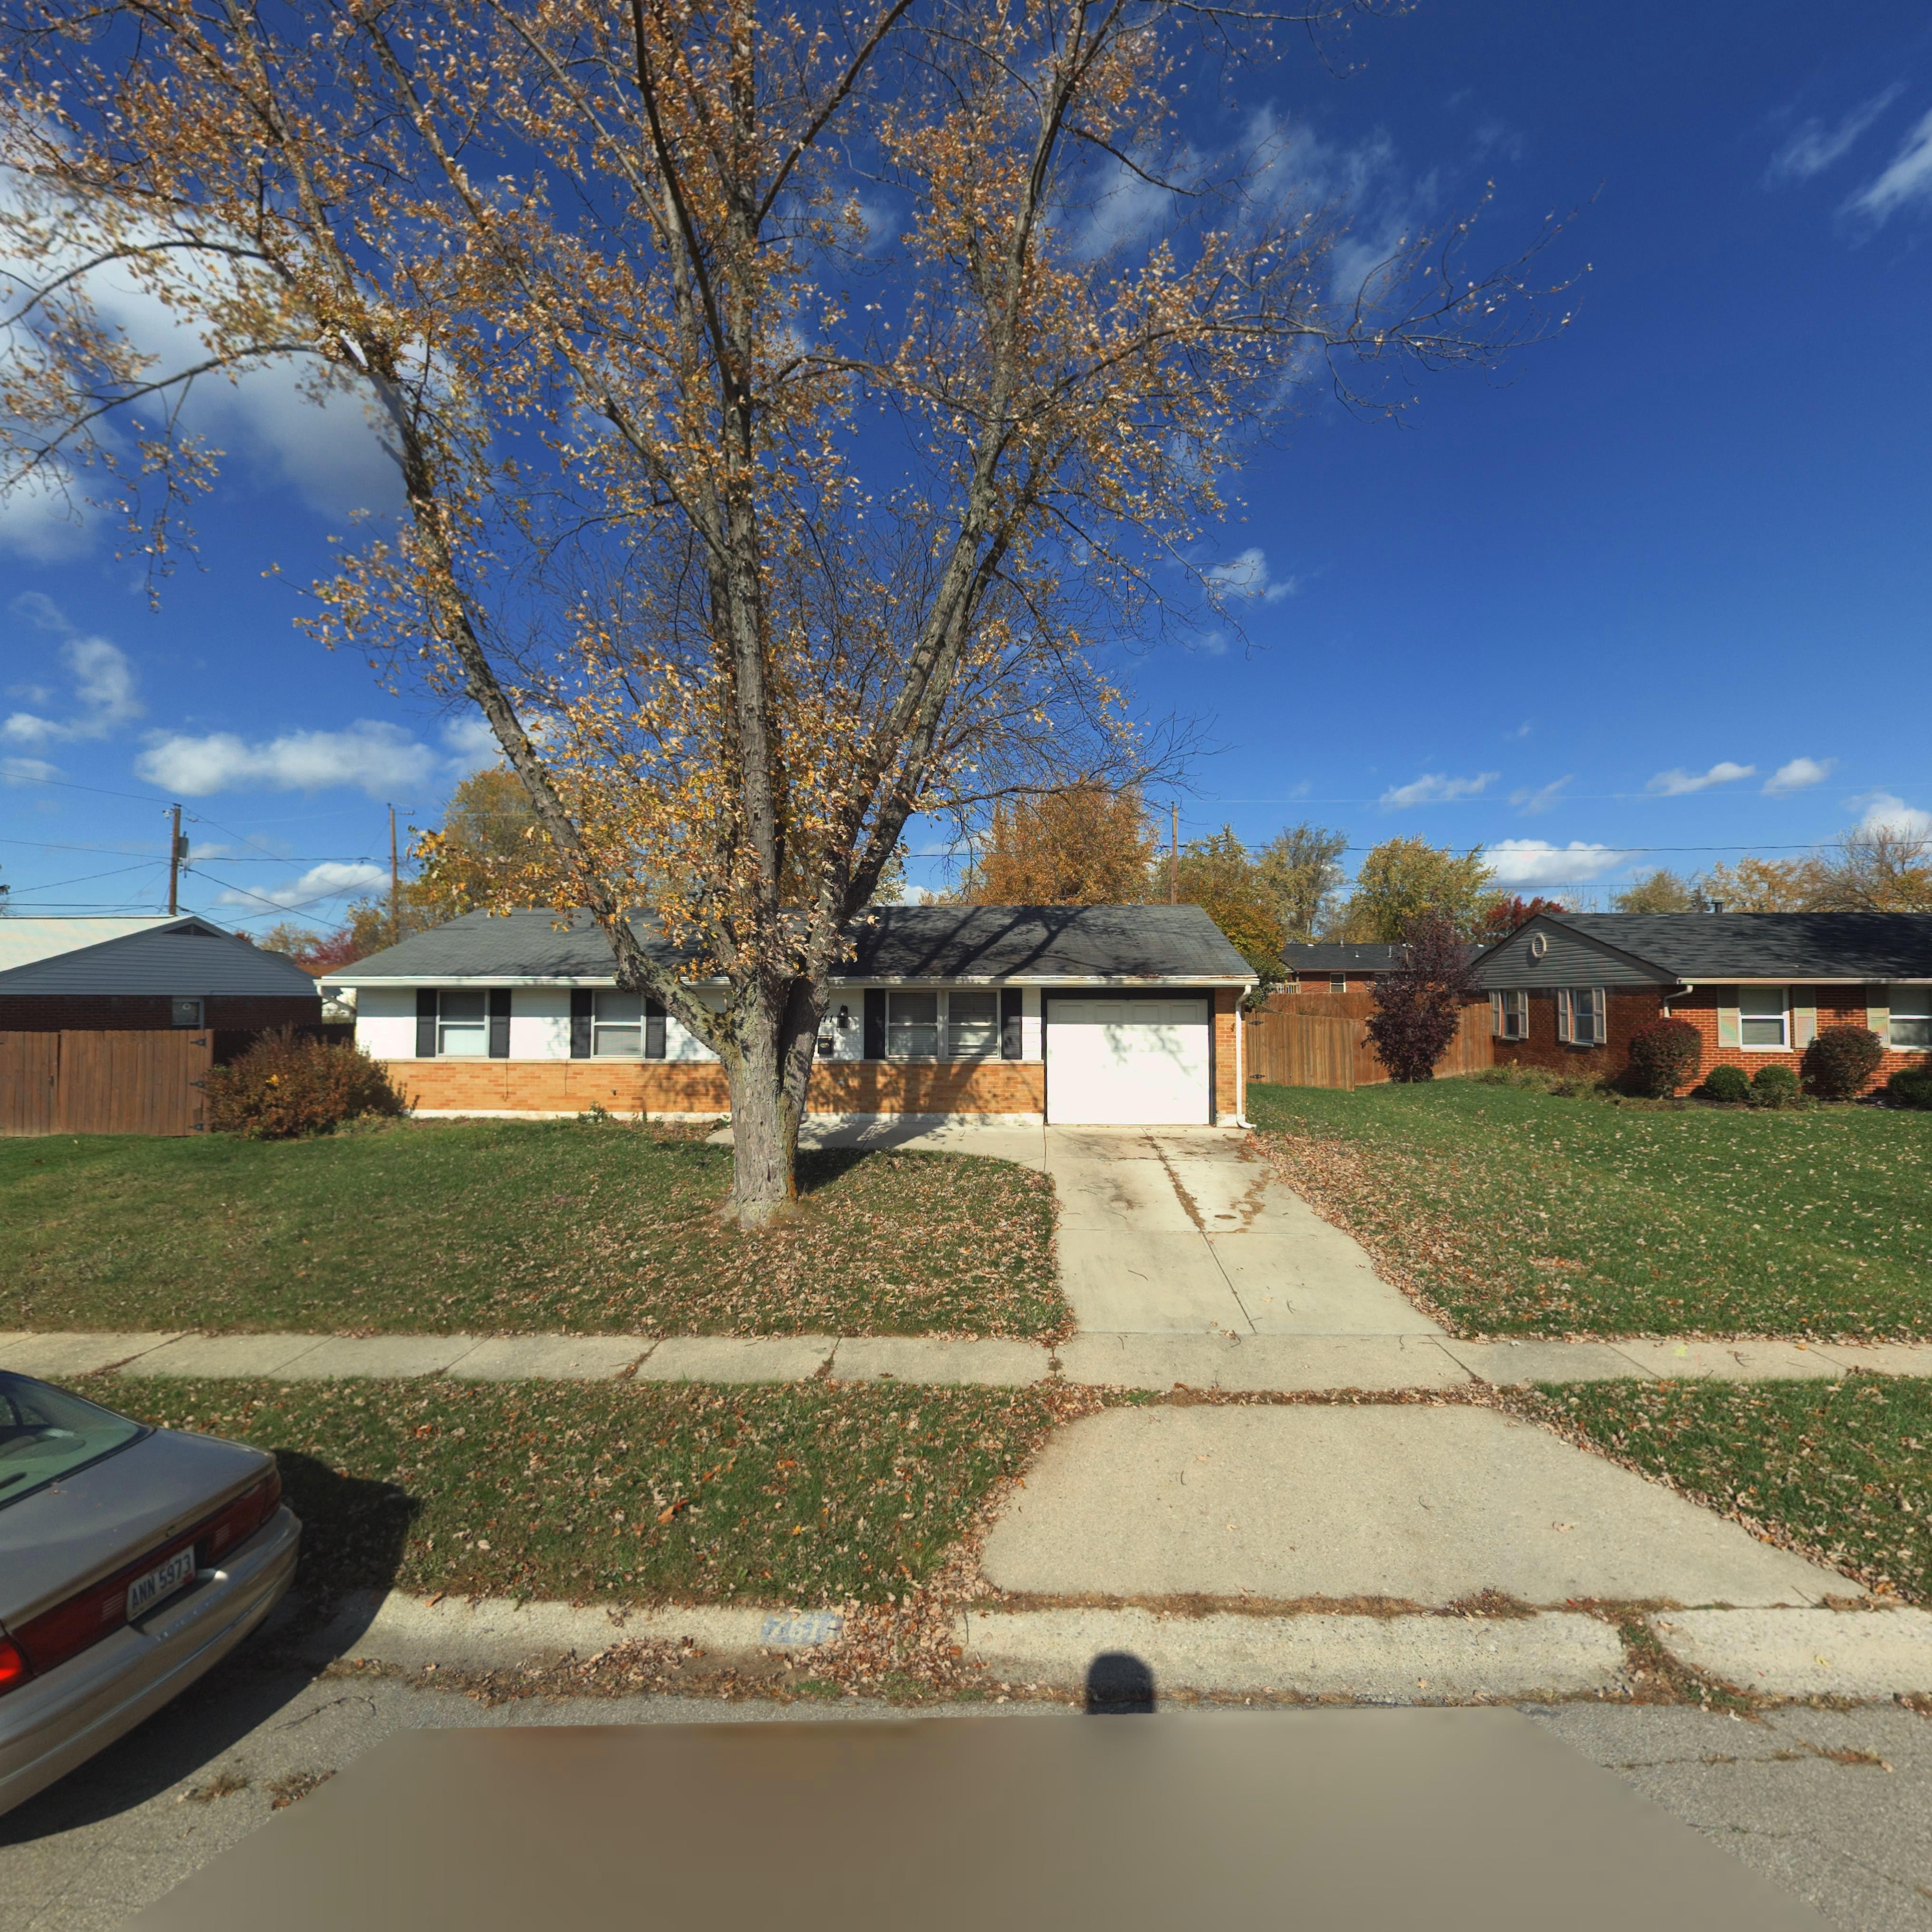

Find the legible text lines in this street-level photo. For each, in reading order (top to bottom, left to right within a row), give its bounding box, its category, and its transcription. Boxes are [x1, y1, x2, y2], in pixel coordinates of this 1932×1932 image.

[822, 1014, 834, 1024] StreetNumber: 11
[766, 1613, 840, 1644] StreetNumber: 7611